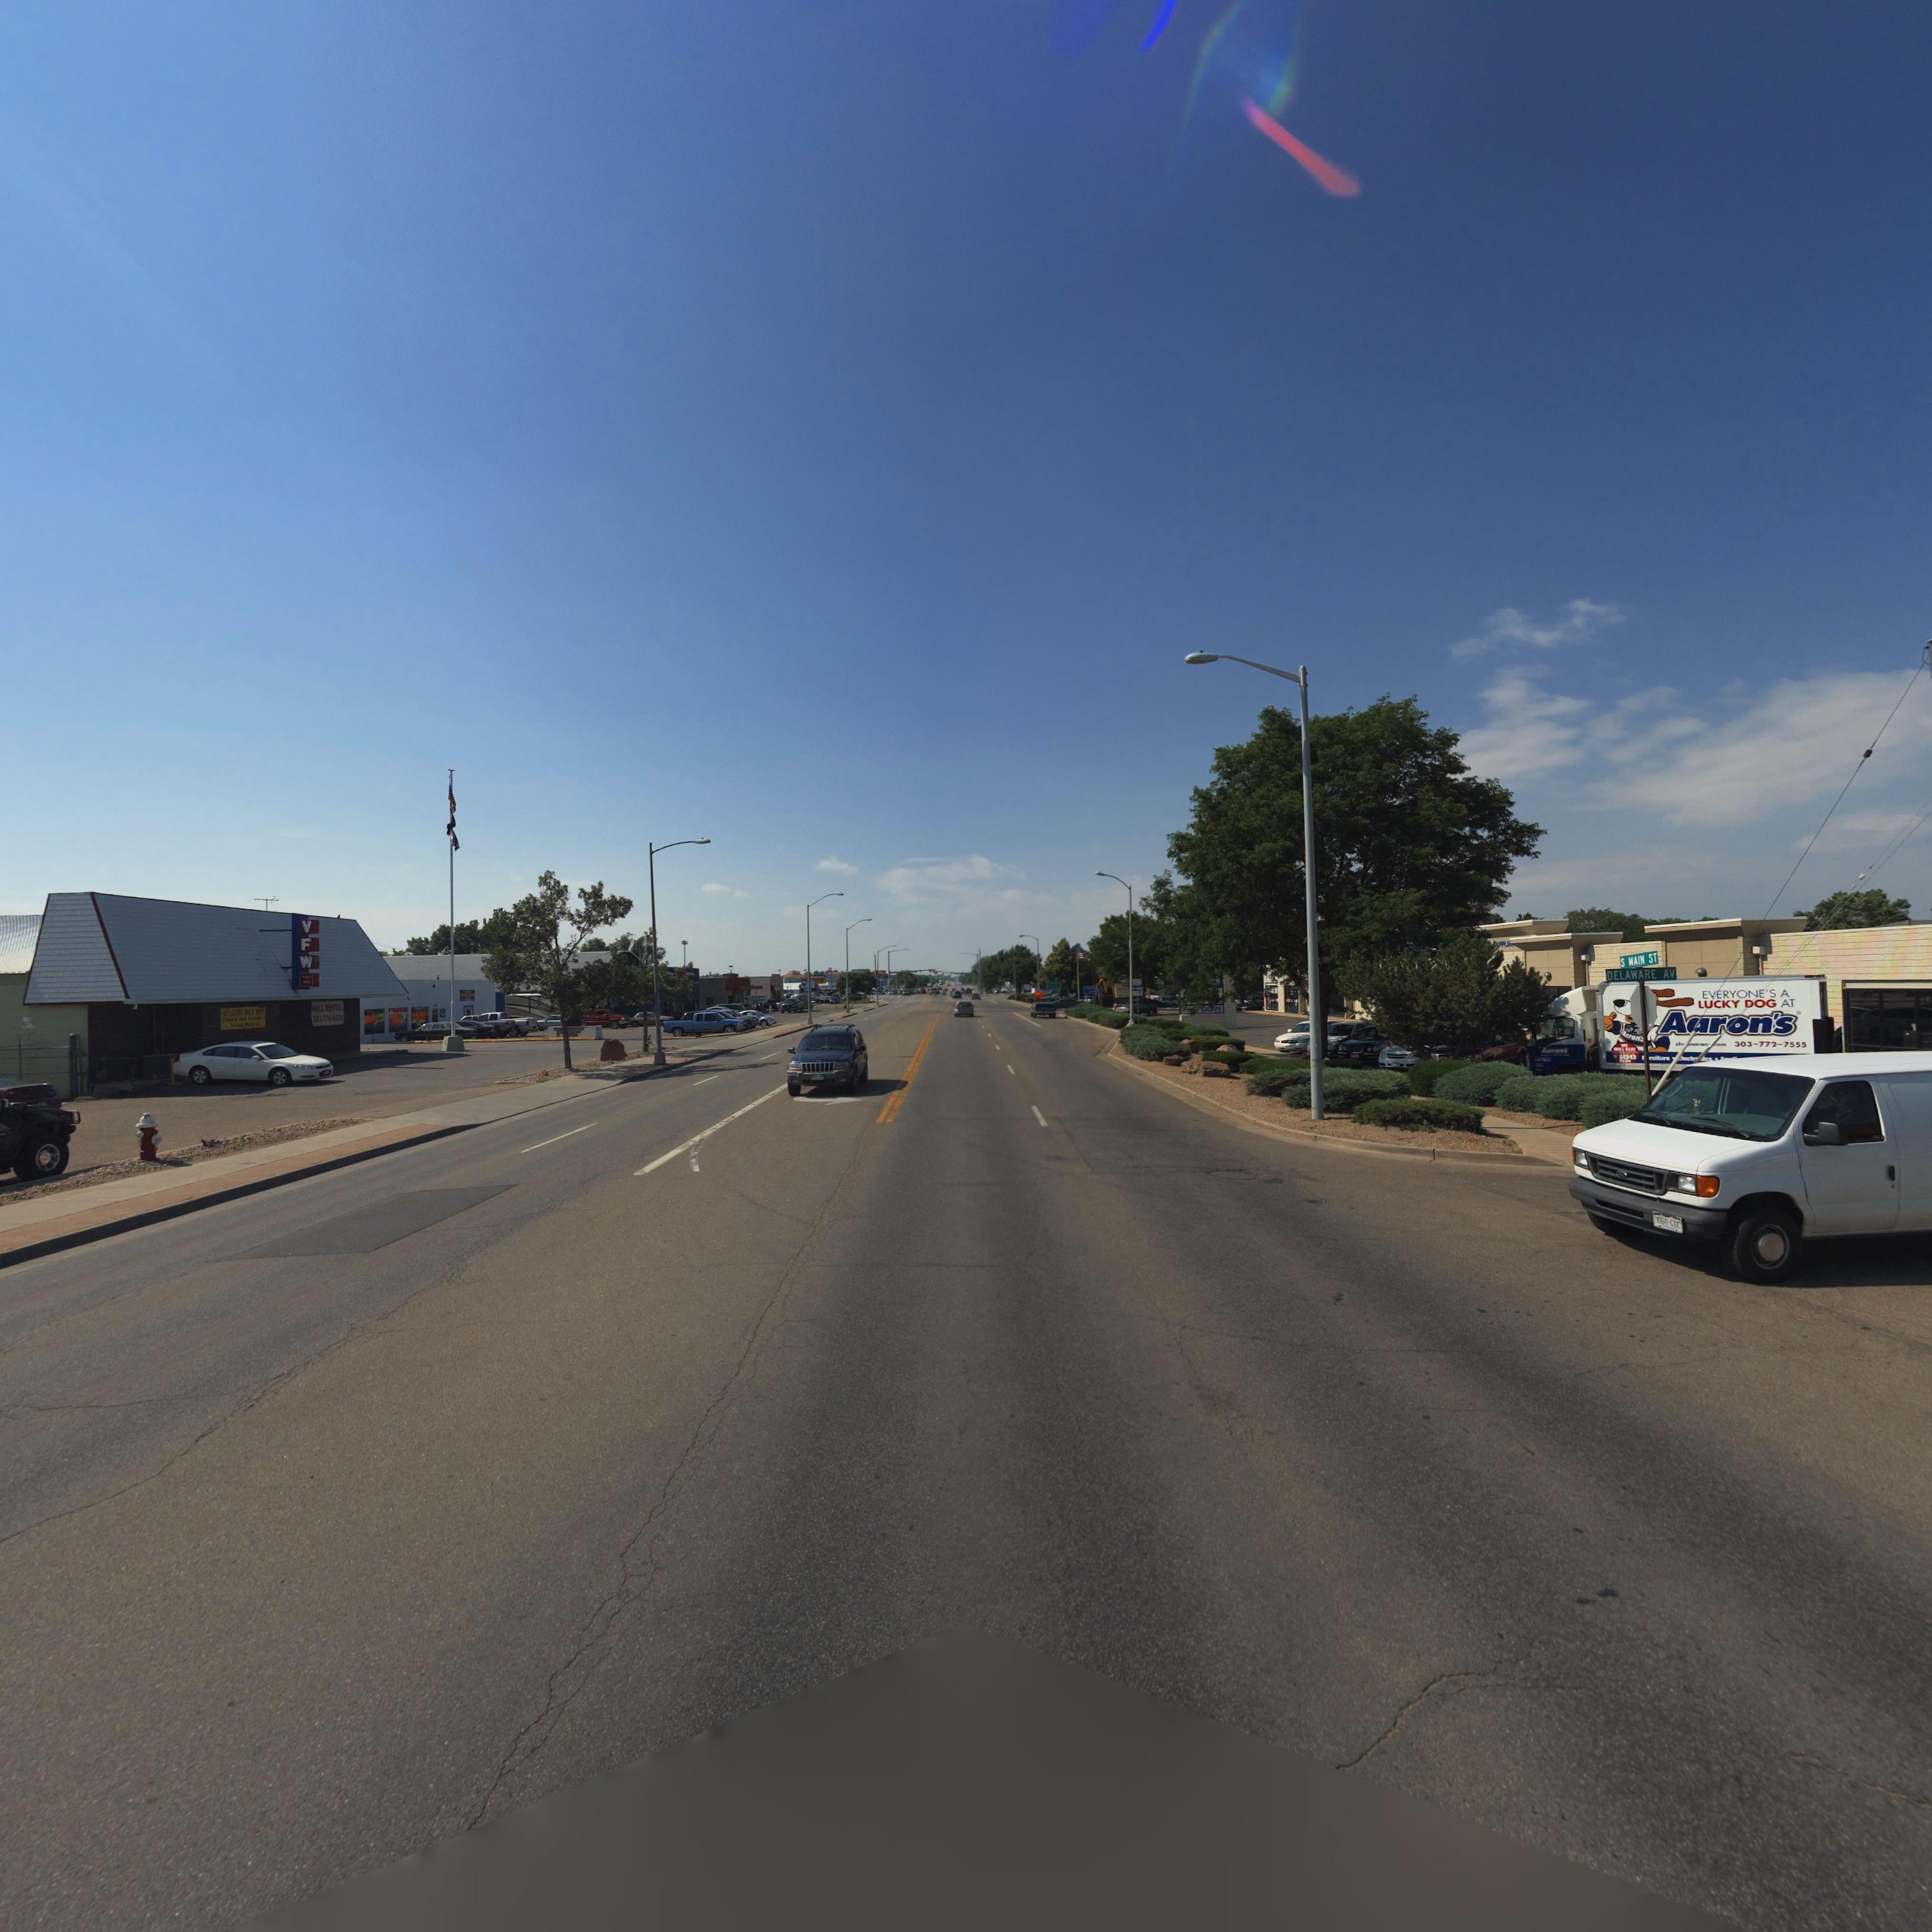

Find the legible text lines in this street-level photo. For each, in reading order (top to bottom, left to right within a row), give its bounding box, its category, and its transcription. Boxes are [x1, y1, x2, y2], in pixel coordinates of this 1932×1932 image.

[299, 920, 313, 969] BusinessName: VFW
[1620, 952, 1657, 967] StreetName: S MAIN ST
[302, 975, 311, 978] BusinessName: POST
[811, 977, 824, 980] BusinessName: ZOE
[1606, 968, 1675, 980] StreetName: DELEWARE AV
[749, 995, 766, 998] BusinessName: LONGMONT
[749, 998, 766, 1001] BusinessName: TIRE SERVICE
[1182, 1005, 1222, 1012] BusinessName: **** *IGNS